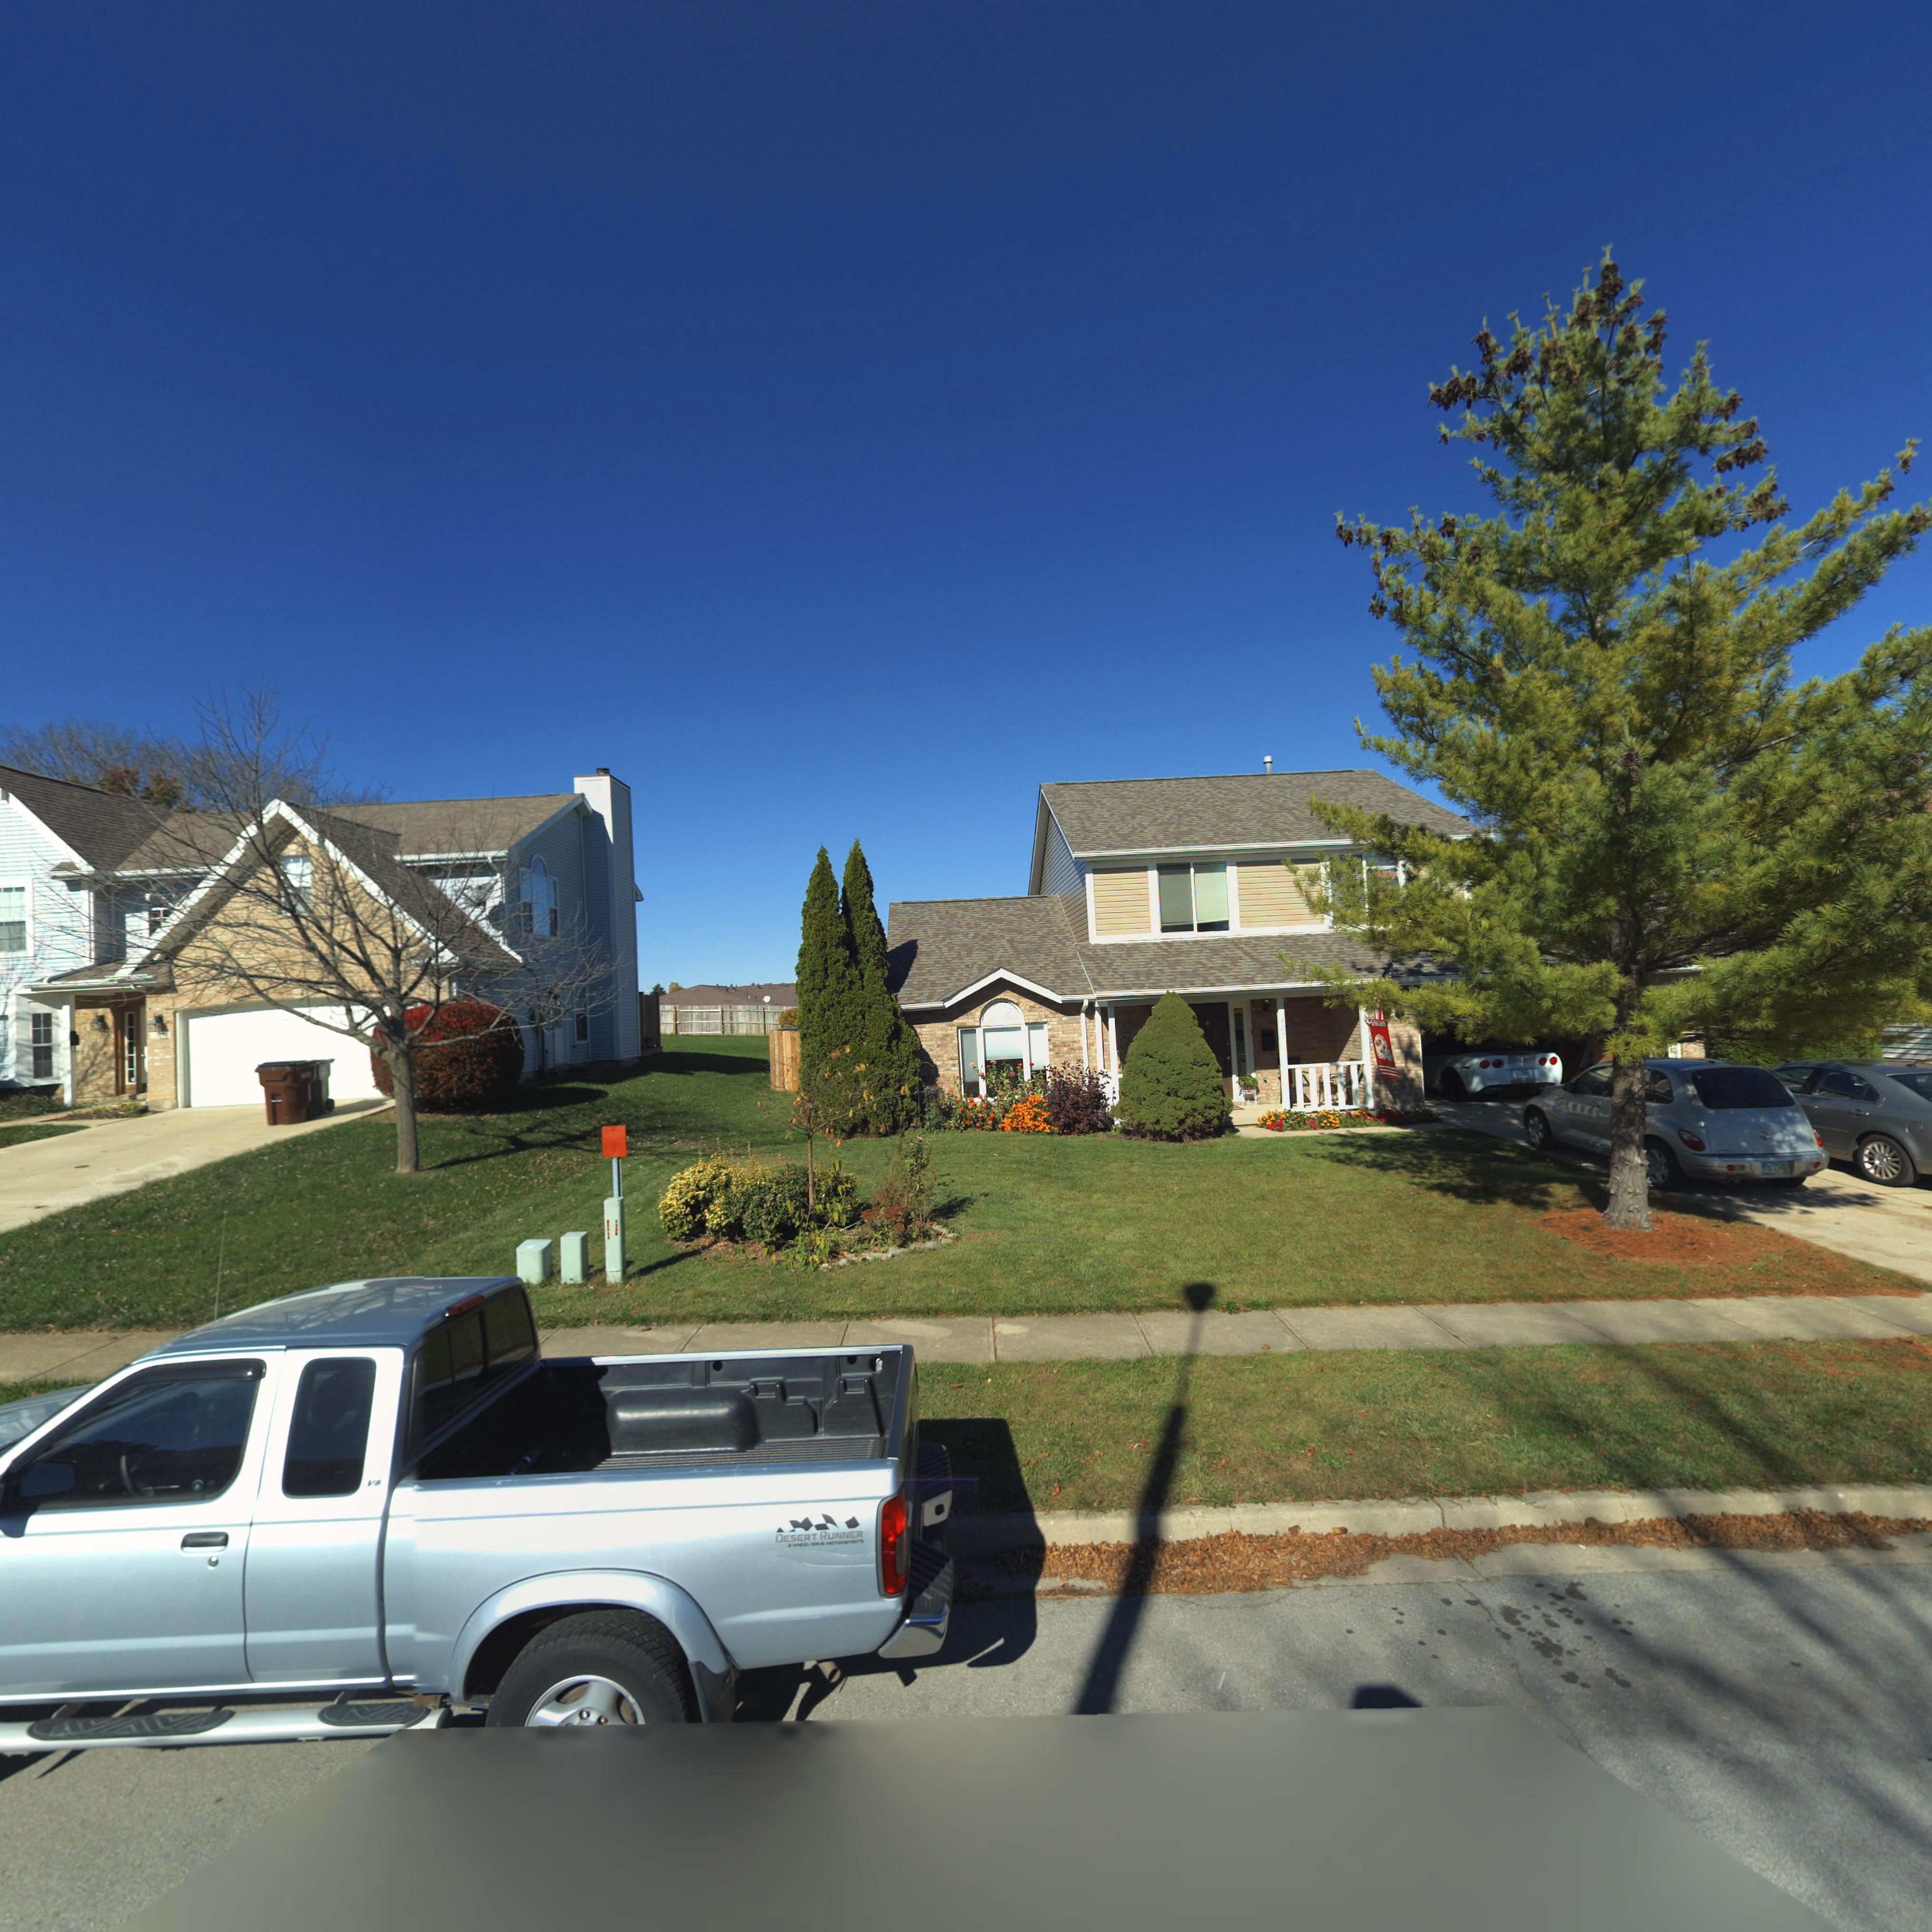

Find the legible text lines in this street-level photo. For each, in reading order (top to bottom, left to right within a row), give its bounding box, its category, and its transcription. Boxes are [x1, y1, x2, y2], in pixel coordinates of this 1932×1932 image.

[1280, 1017, 1286, 1036] StreetNumber: 32*